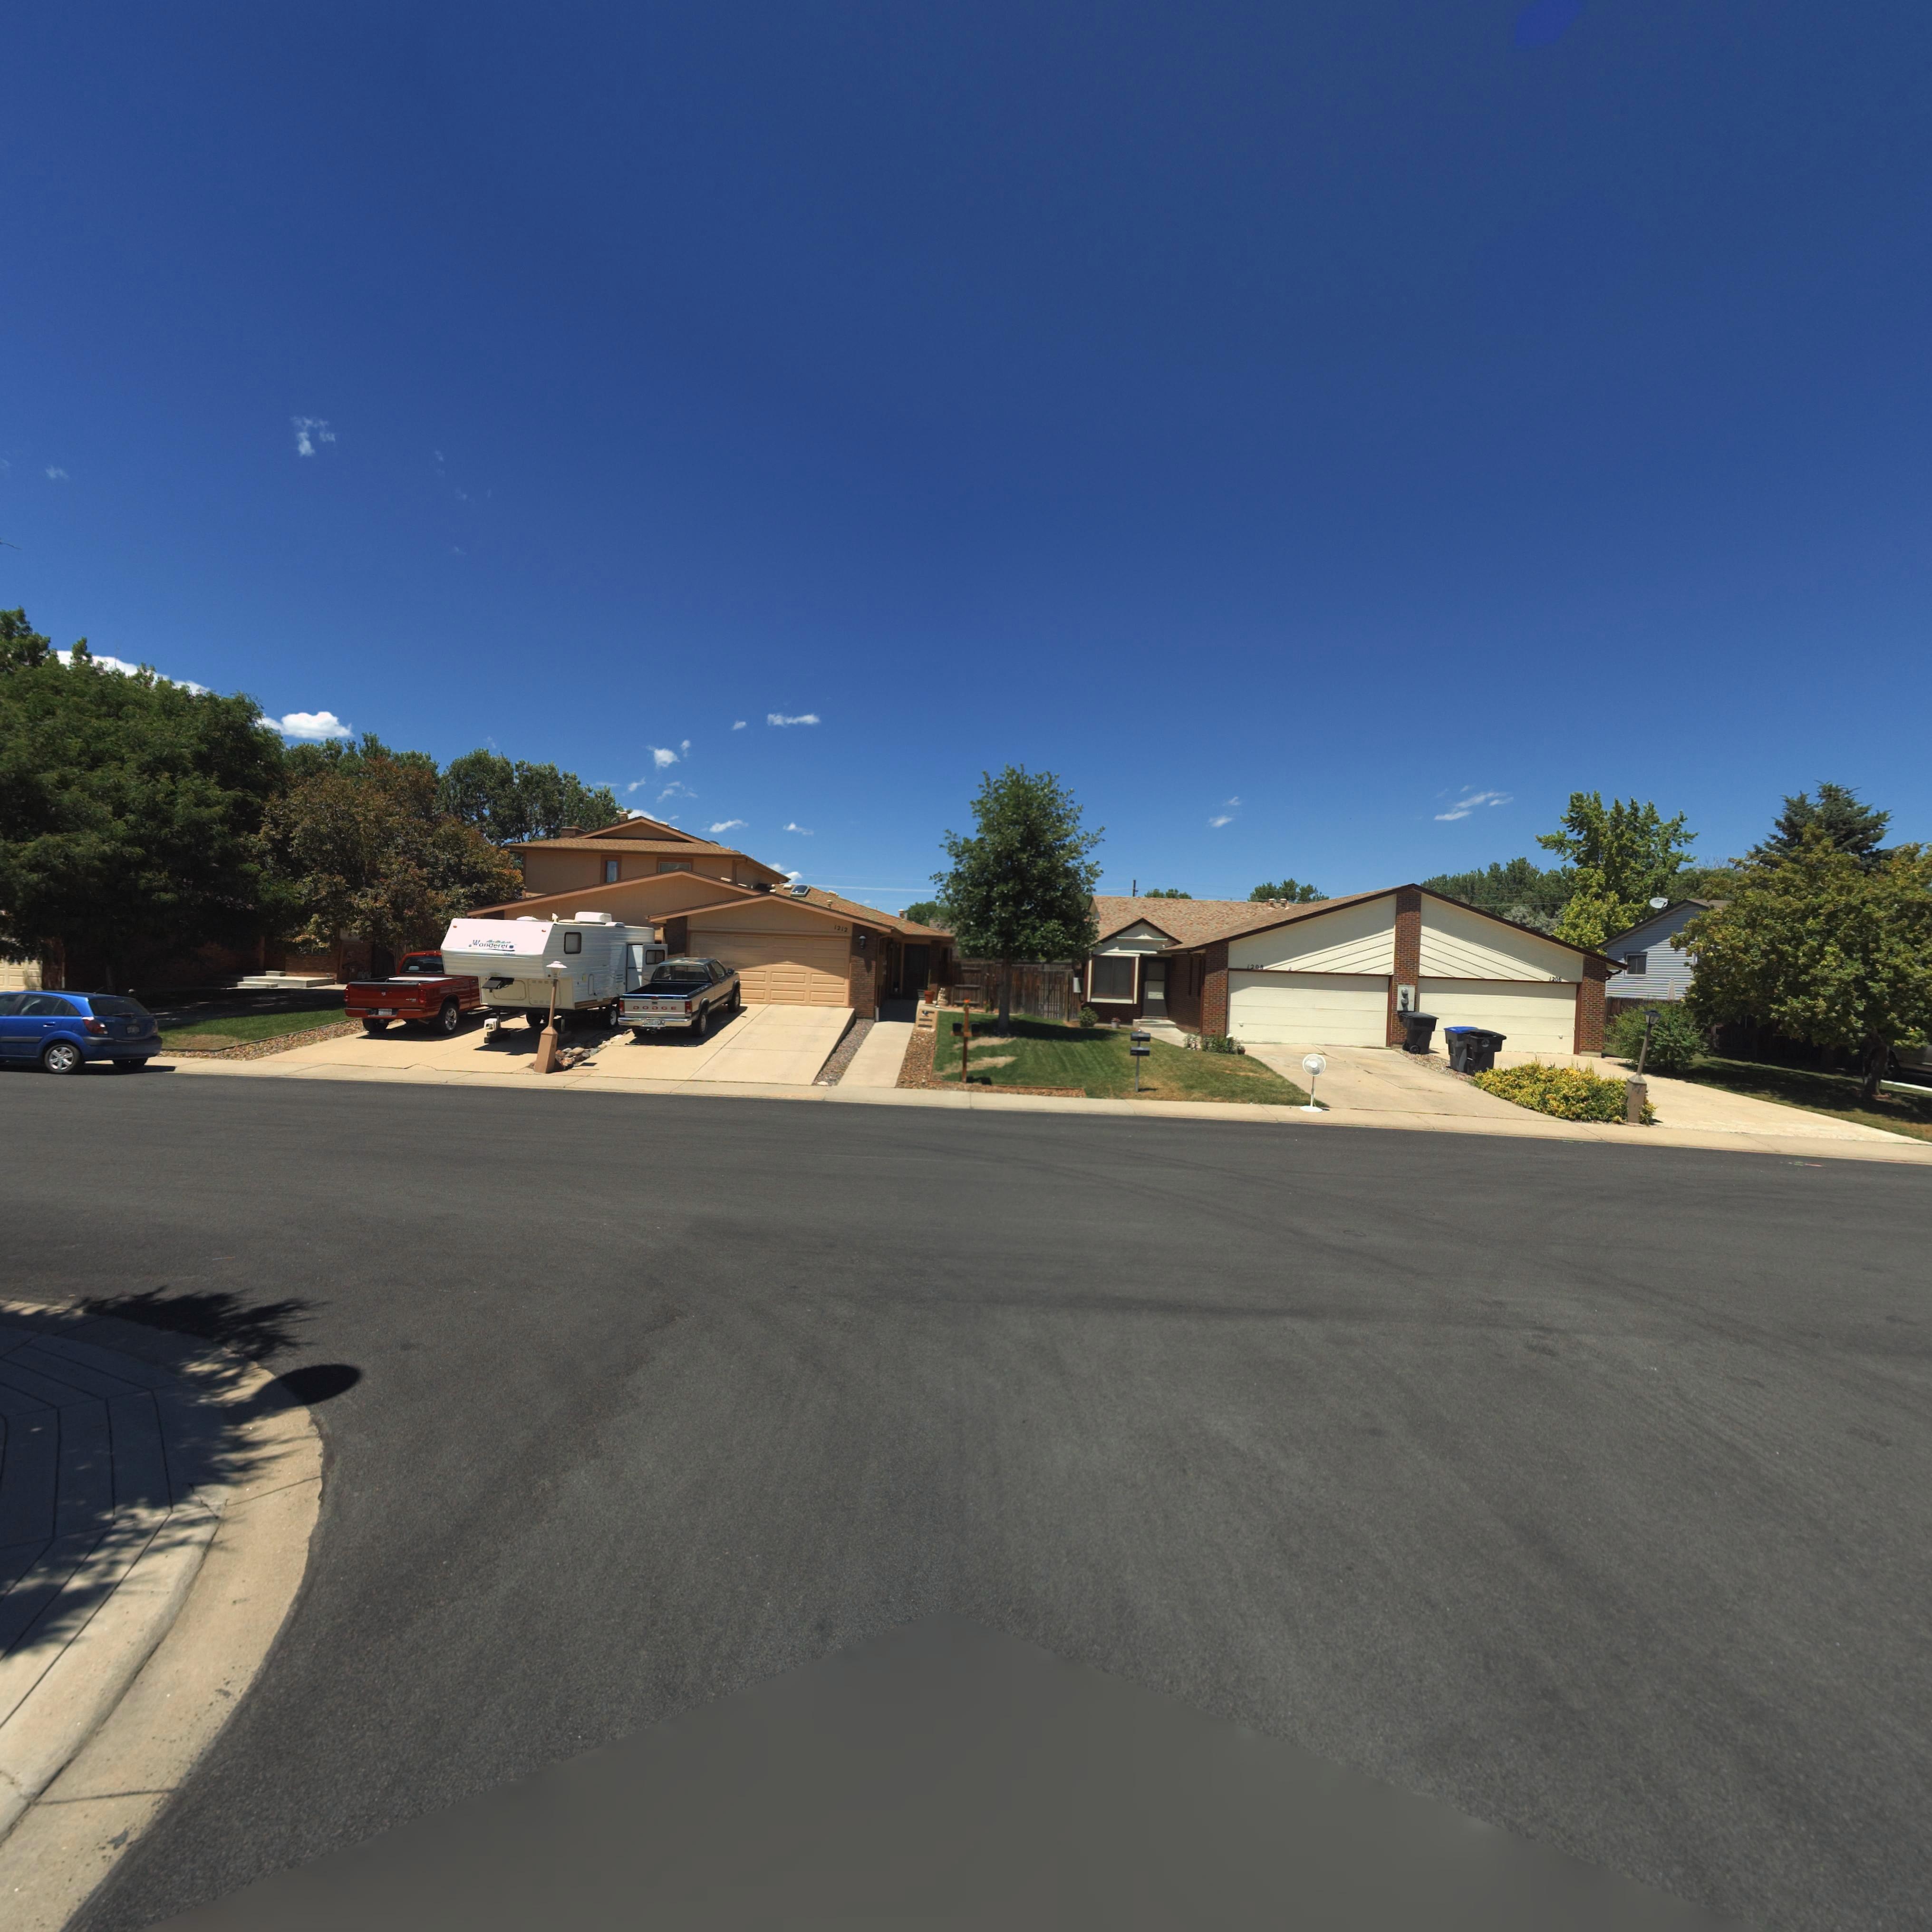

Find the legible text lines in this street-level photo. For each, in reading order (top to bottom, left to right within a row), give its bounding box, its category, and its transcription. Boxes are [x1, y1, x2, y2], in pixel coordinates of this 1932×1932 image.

[834, 924, 847, 932] StreetNumber: 1212
[1247, 964, 1263, 969] StreetNumber: 1208
[1549, 976, 1562, 982] StreetNumber: 1206